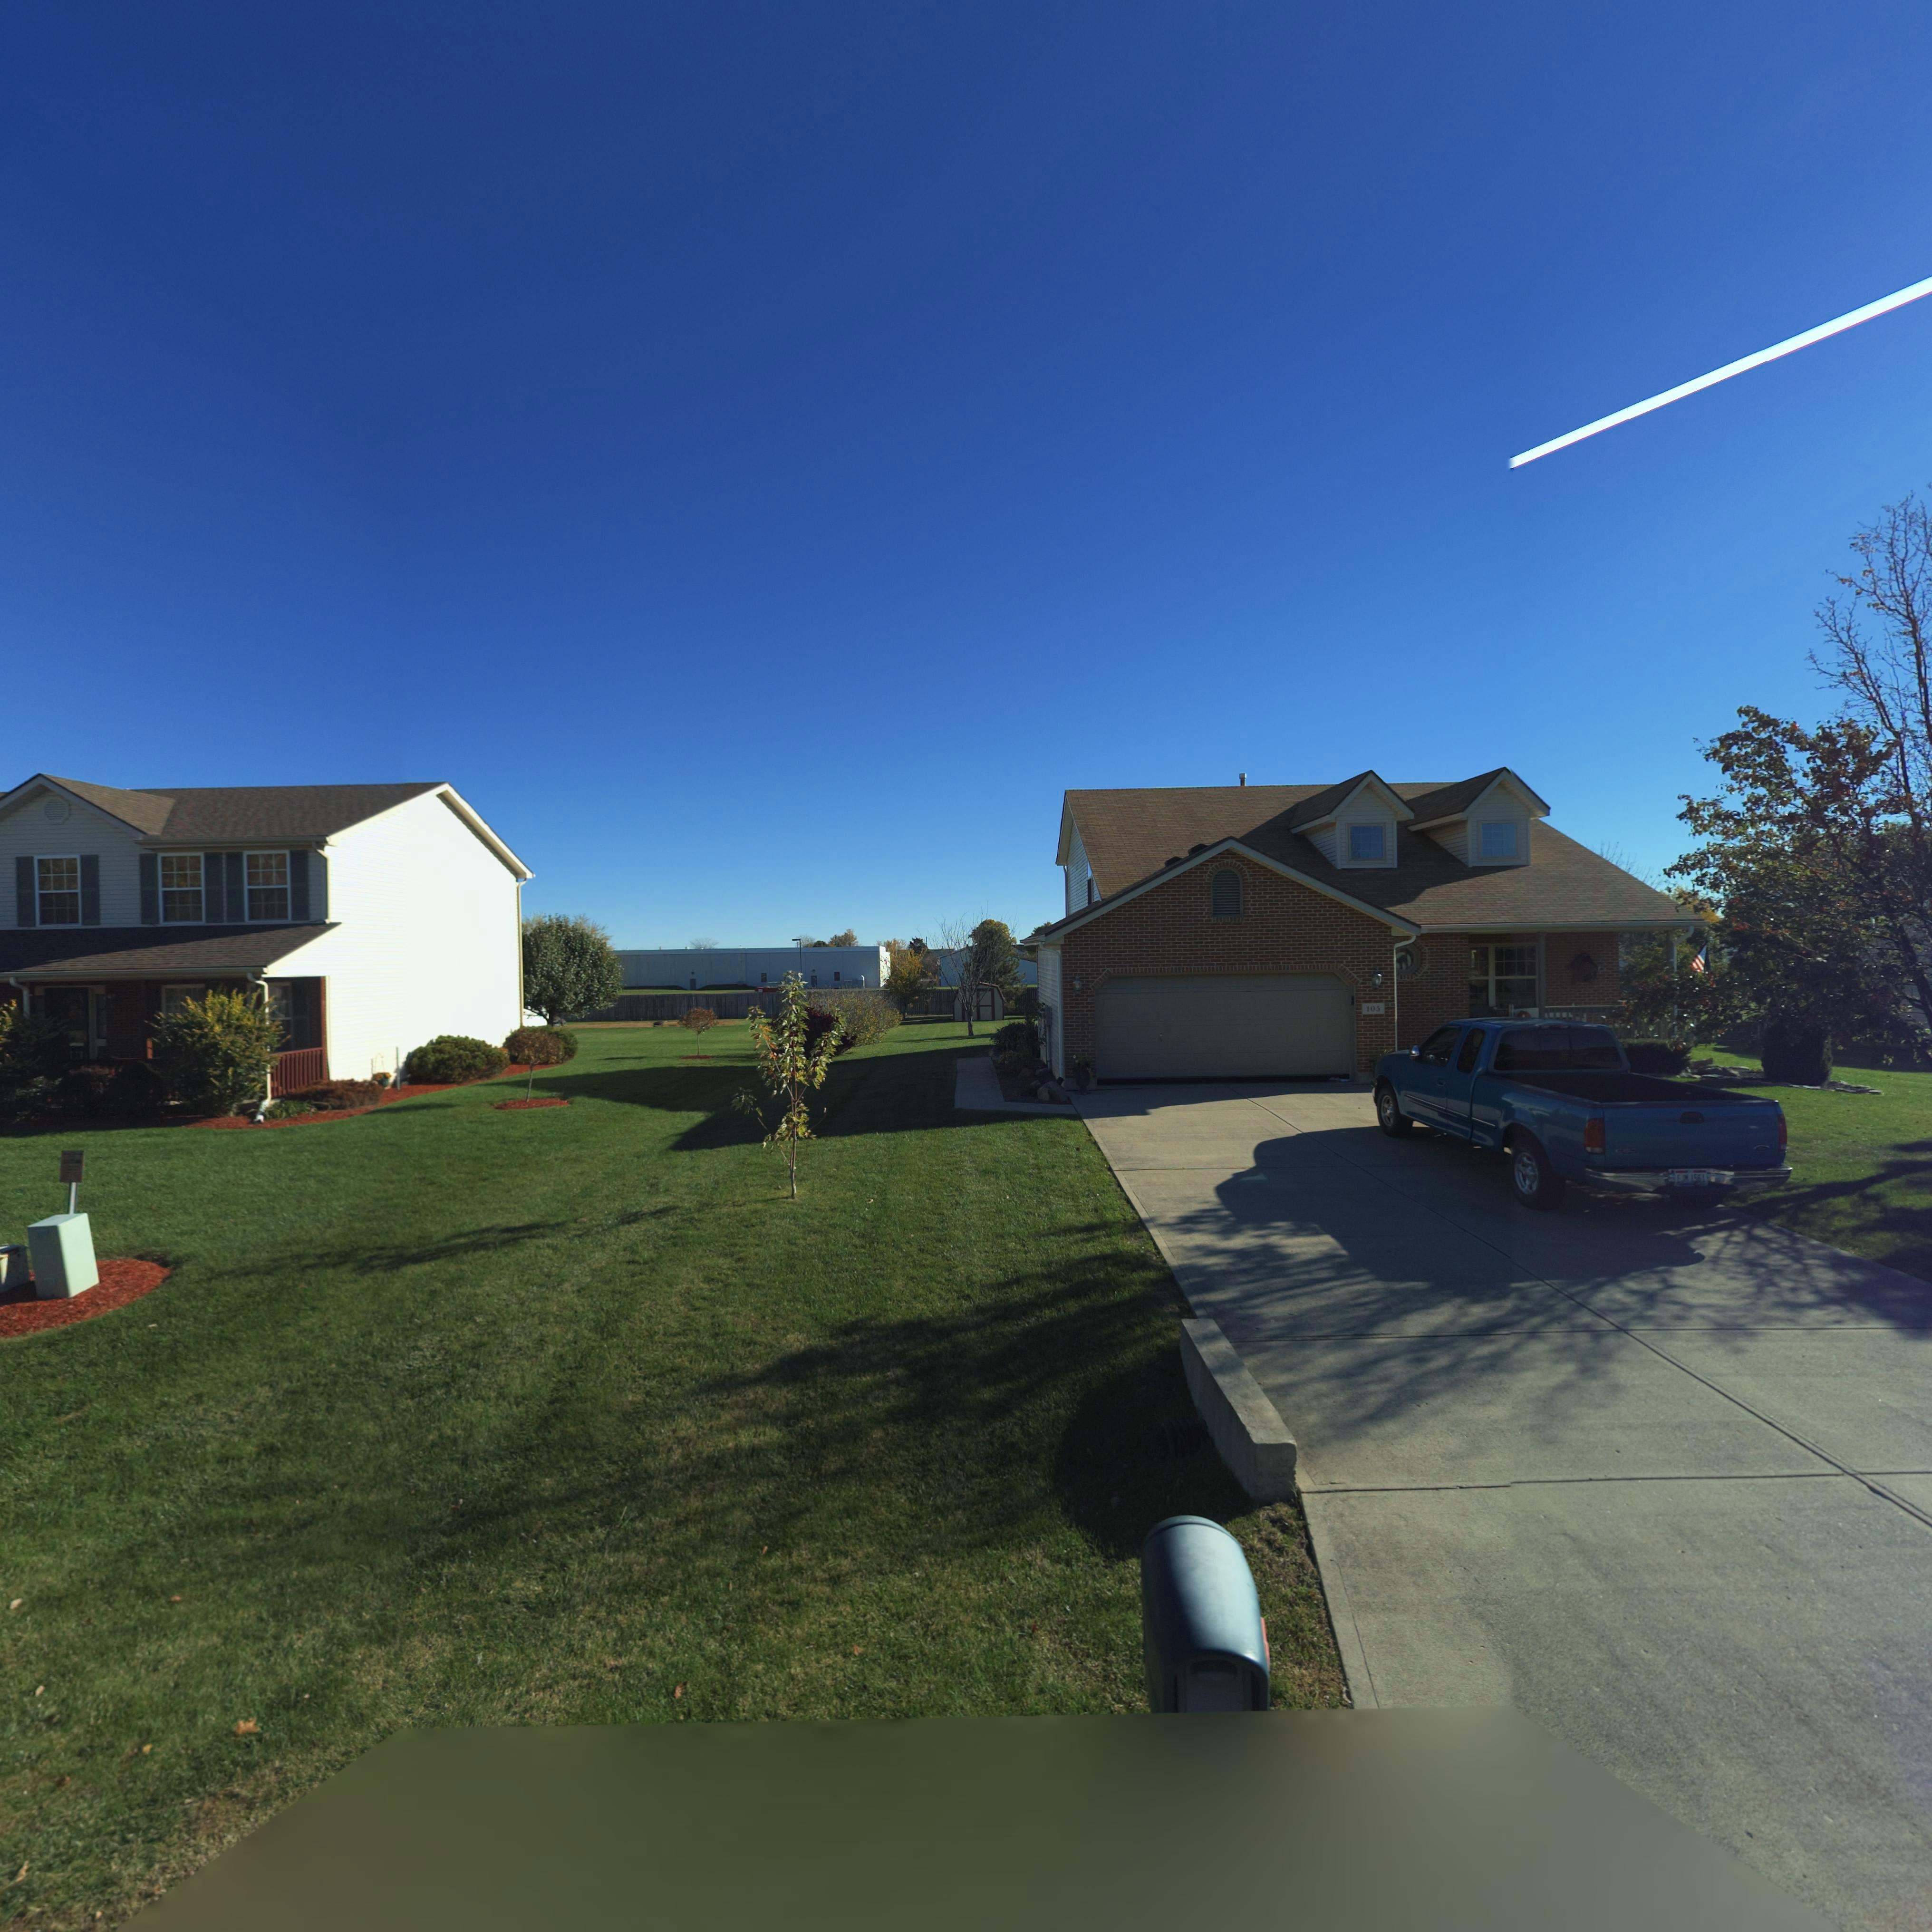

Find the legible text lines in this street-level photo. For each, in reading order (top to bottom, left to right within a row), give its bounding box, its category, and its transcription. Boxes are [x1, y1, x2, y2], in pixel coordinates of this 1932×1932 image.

[1366, 1005, 1381, 1012] StreetNumber: 105